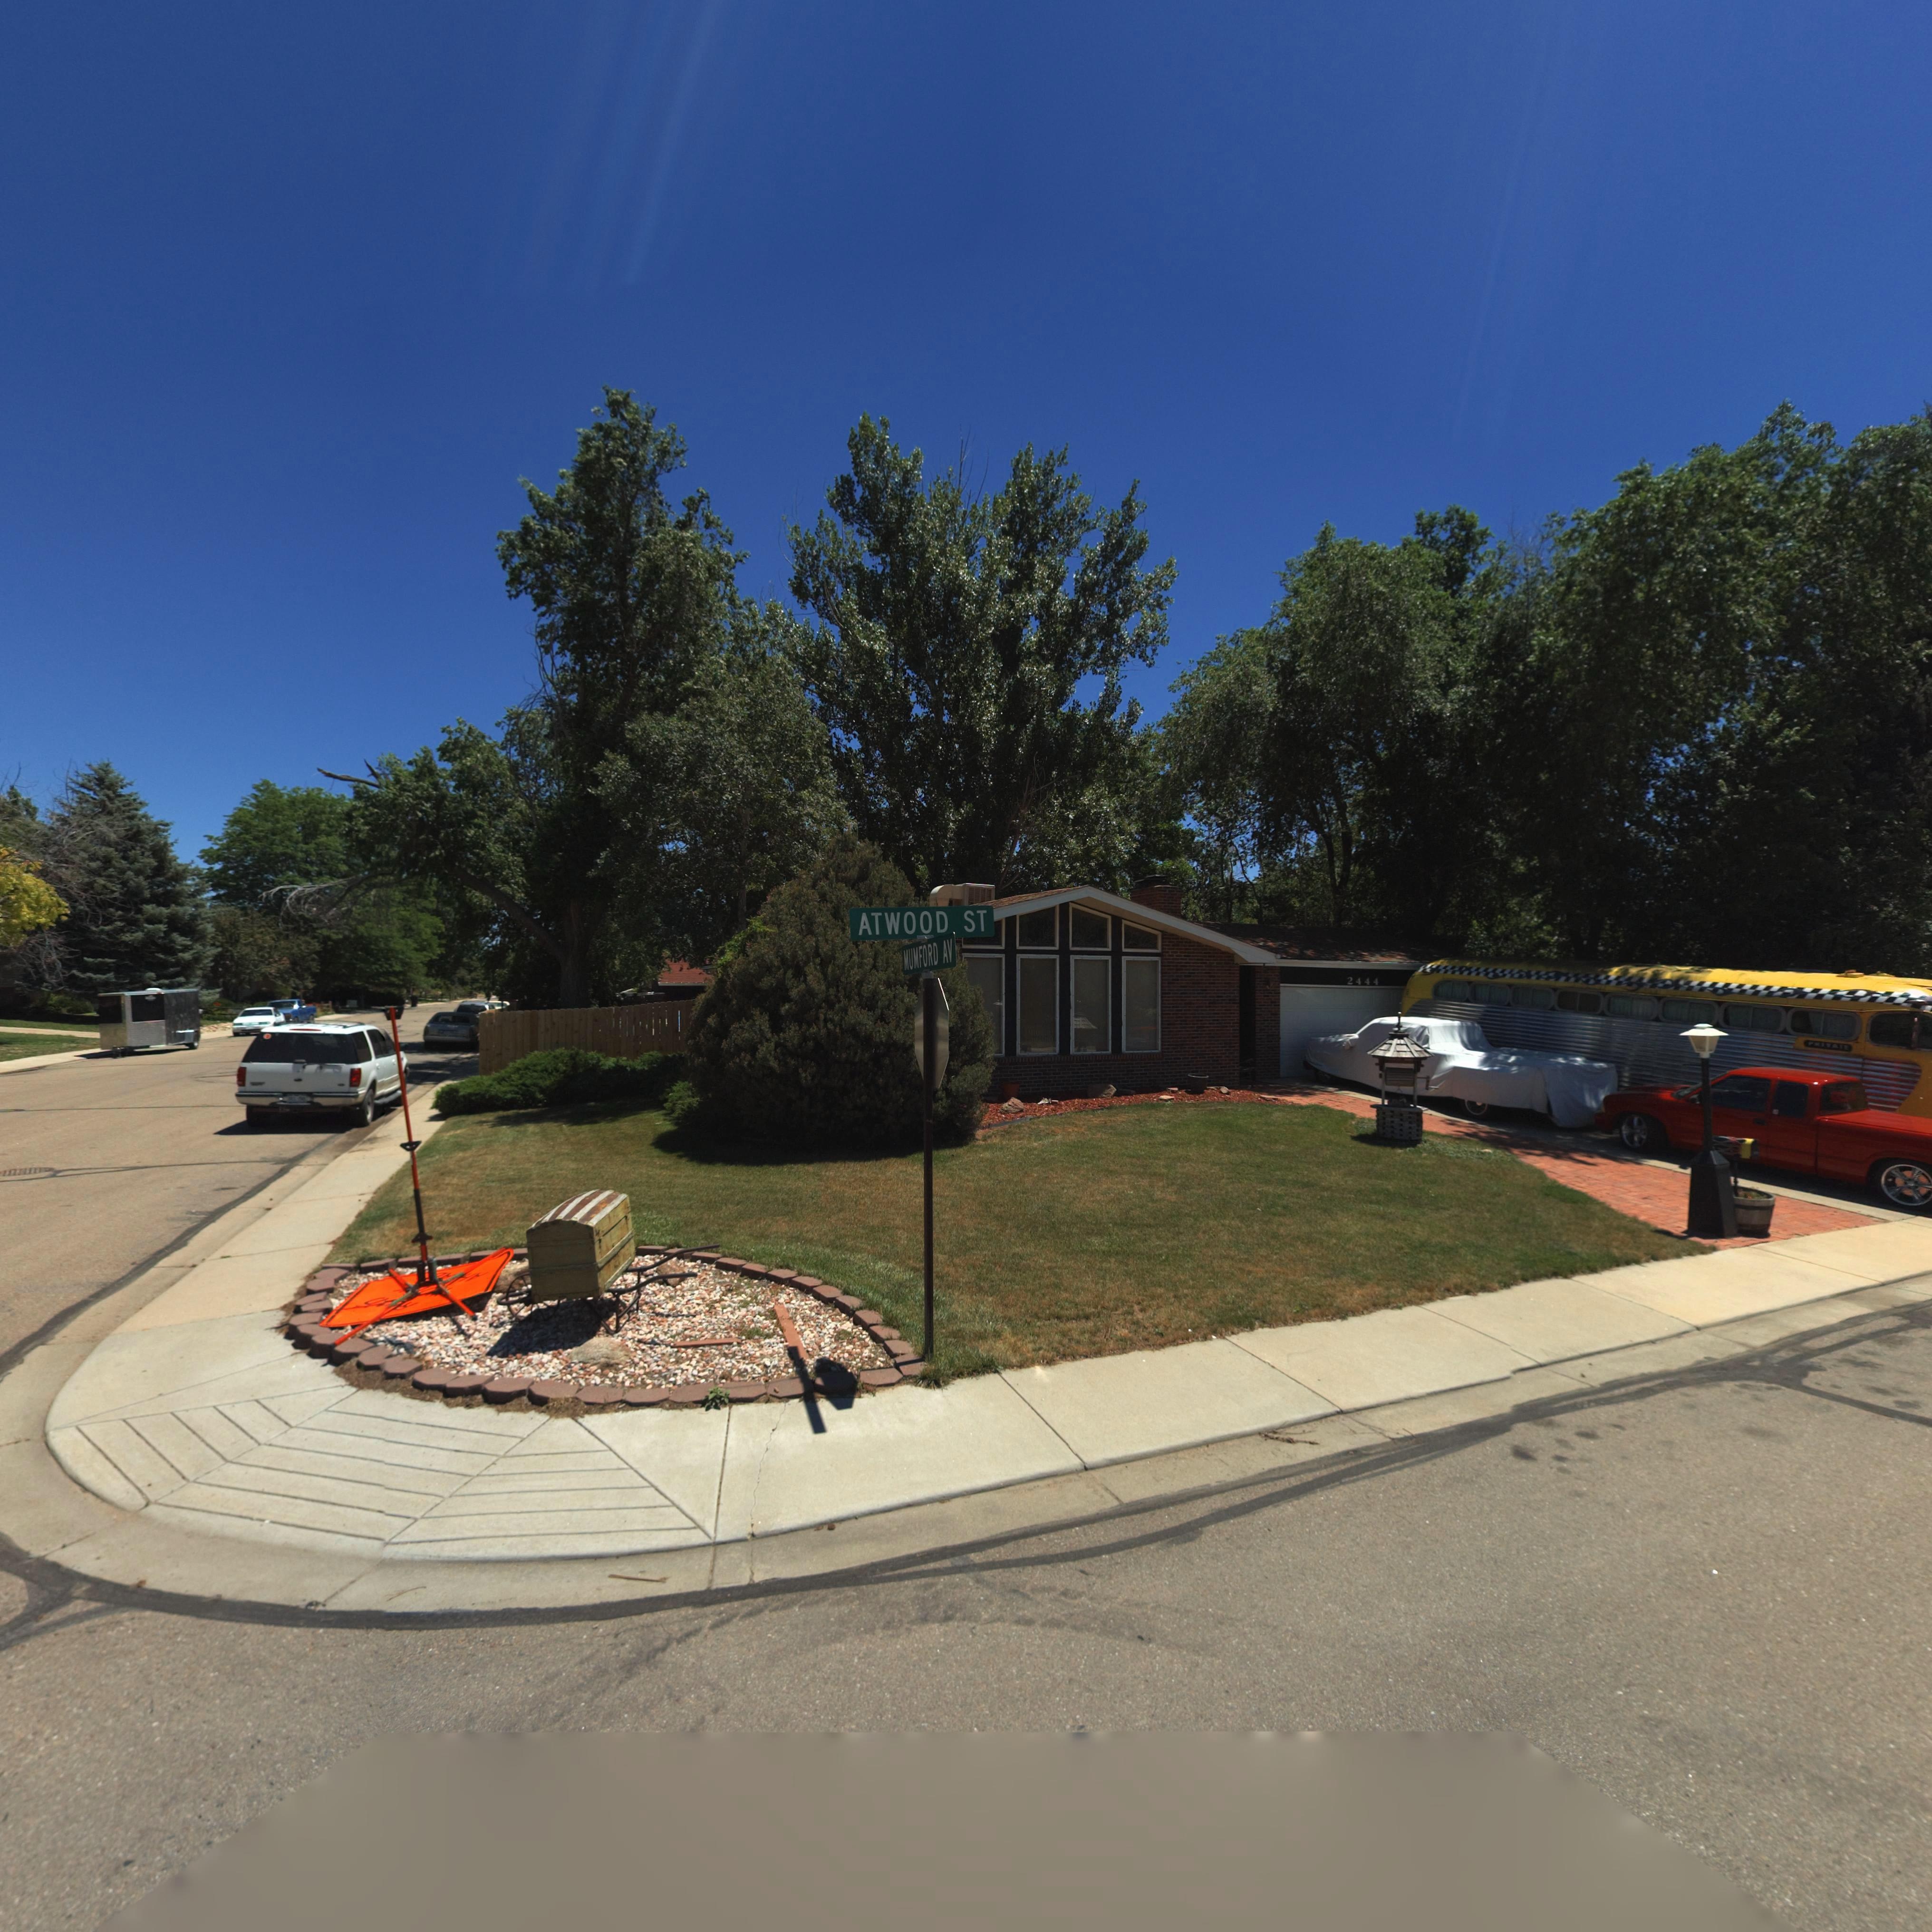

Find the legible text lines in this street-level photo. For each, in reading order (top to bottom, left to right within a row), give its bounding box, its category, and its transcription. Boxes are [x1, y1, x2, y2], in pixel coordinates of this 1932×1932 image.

[856, 908, 988, 937] StreetName: ATWOOD ST
[901, 936, 954, 973] StreetName: MUMFORD AV
[1346, 975, 1379, 986] StreetNumber: 2444